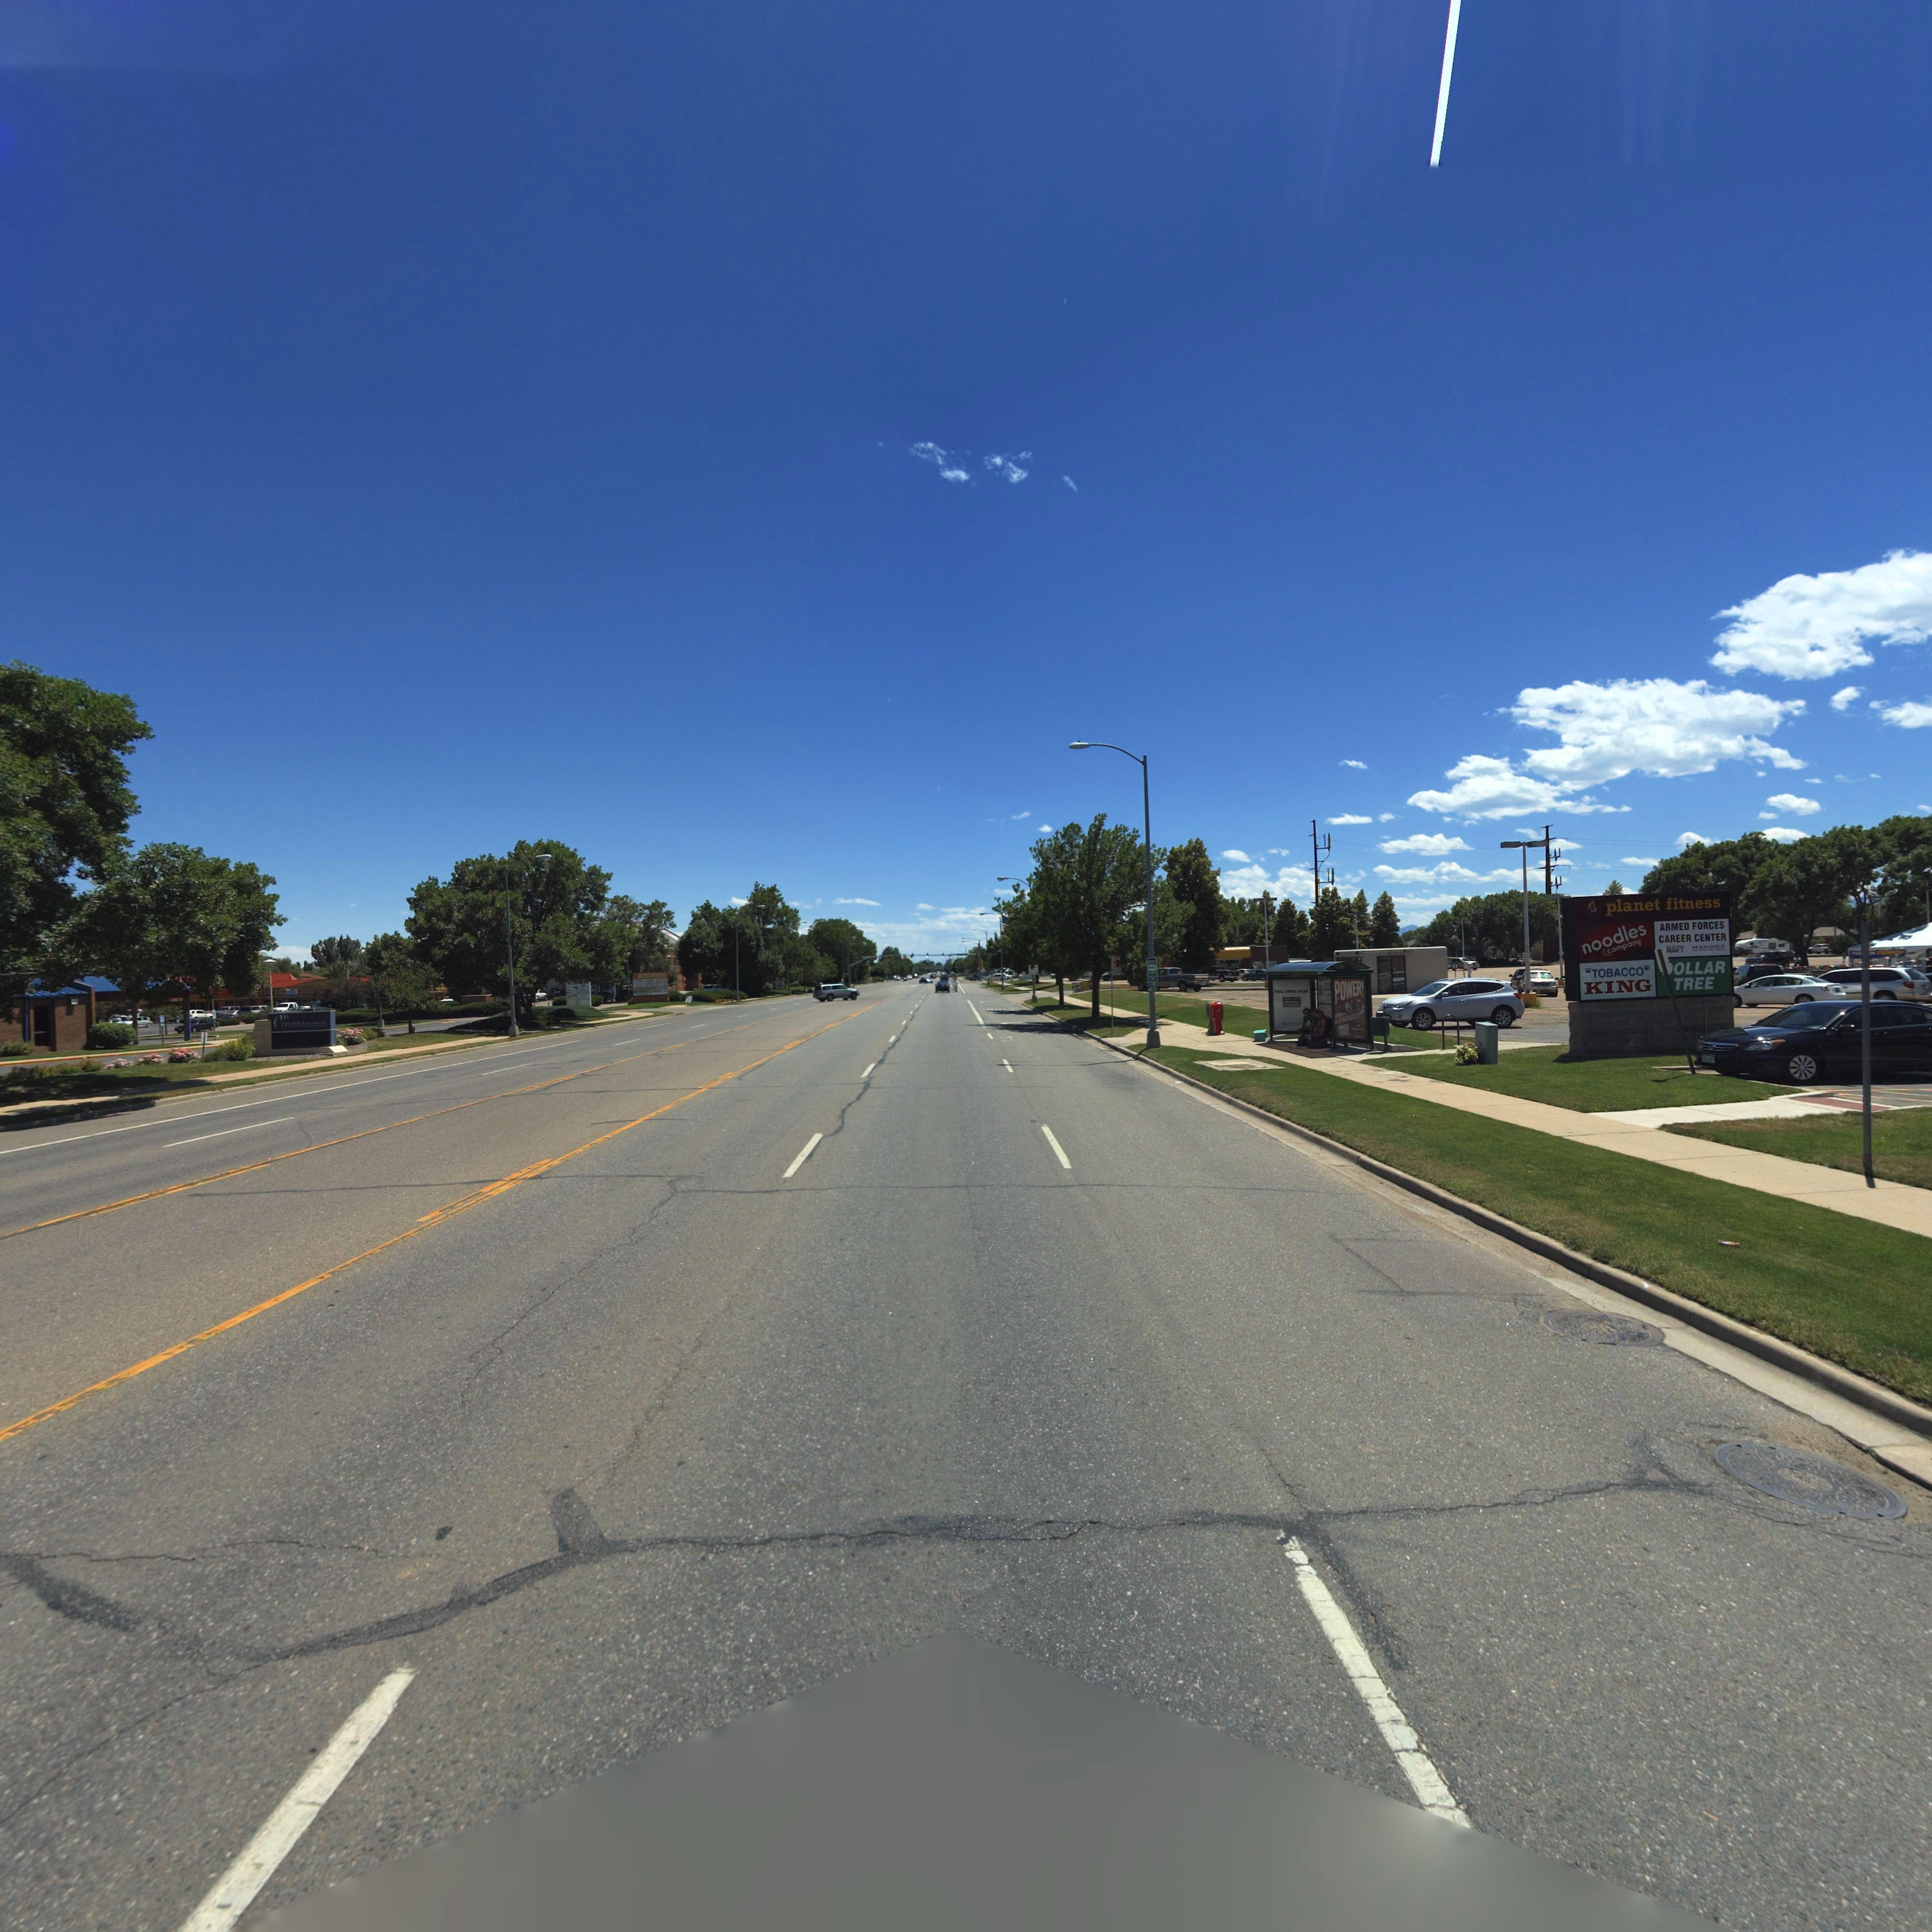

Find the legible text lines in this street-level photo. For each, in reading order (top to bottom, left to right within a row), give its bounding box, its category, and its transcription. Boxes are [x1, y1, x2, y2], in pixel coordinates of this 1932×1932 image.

[1606, 897, 1720, 916] BusinessName: planet fitness
[1581, 925, 1647, 955] BusinessName: noodles
[1607, 938, 1642, 954] BusinessName: company
[1659, 932, 1727, 943] BusinessName: CAREER CENTER
[1591, 966, 1644, 978] BusinessName: TOBACCO
[1661, 960, 1726, 975] BusinessName: *OLLAR
[1584, 978, 1652, 995] BusinessName: KING
[1673, 976, 1715, 991] BusinessName: TREE